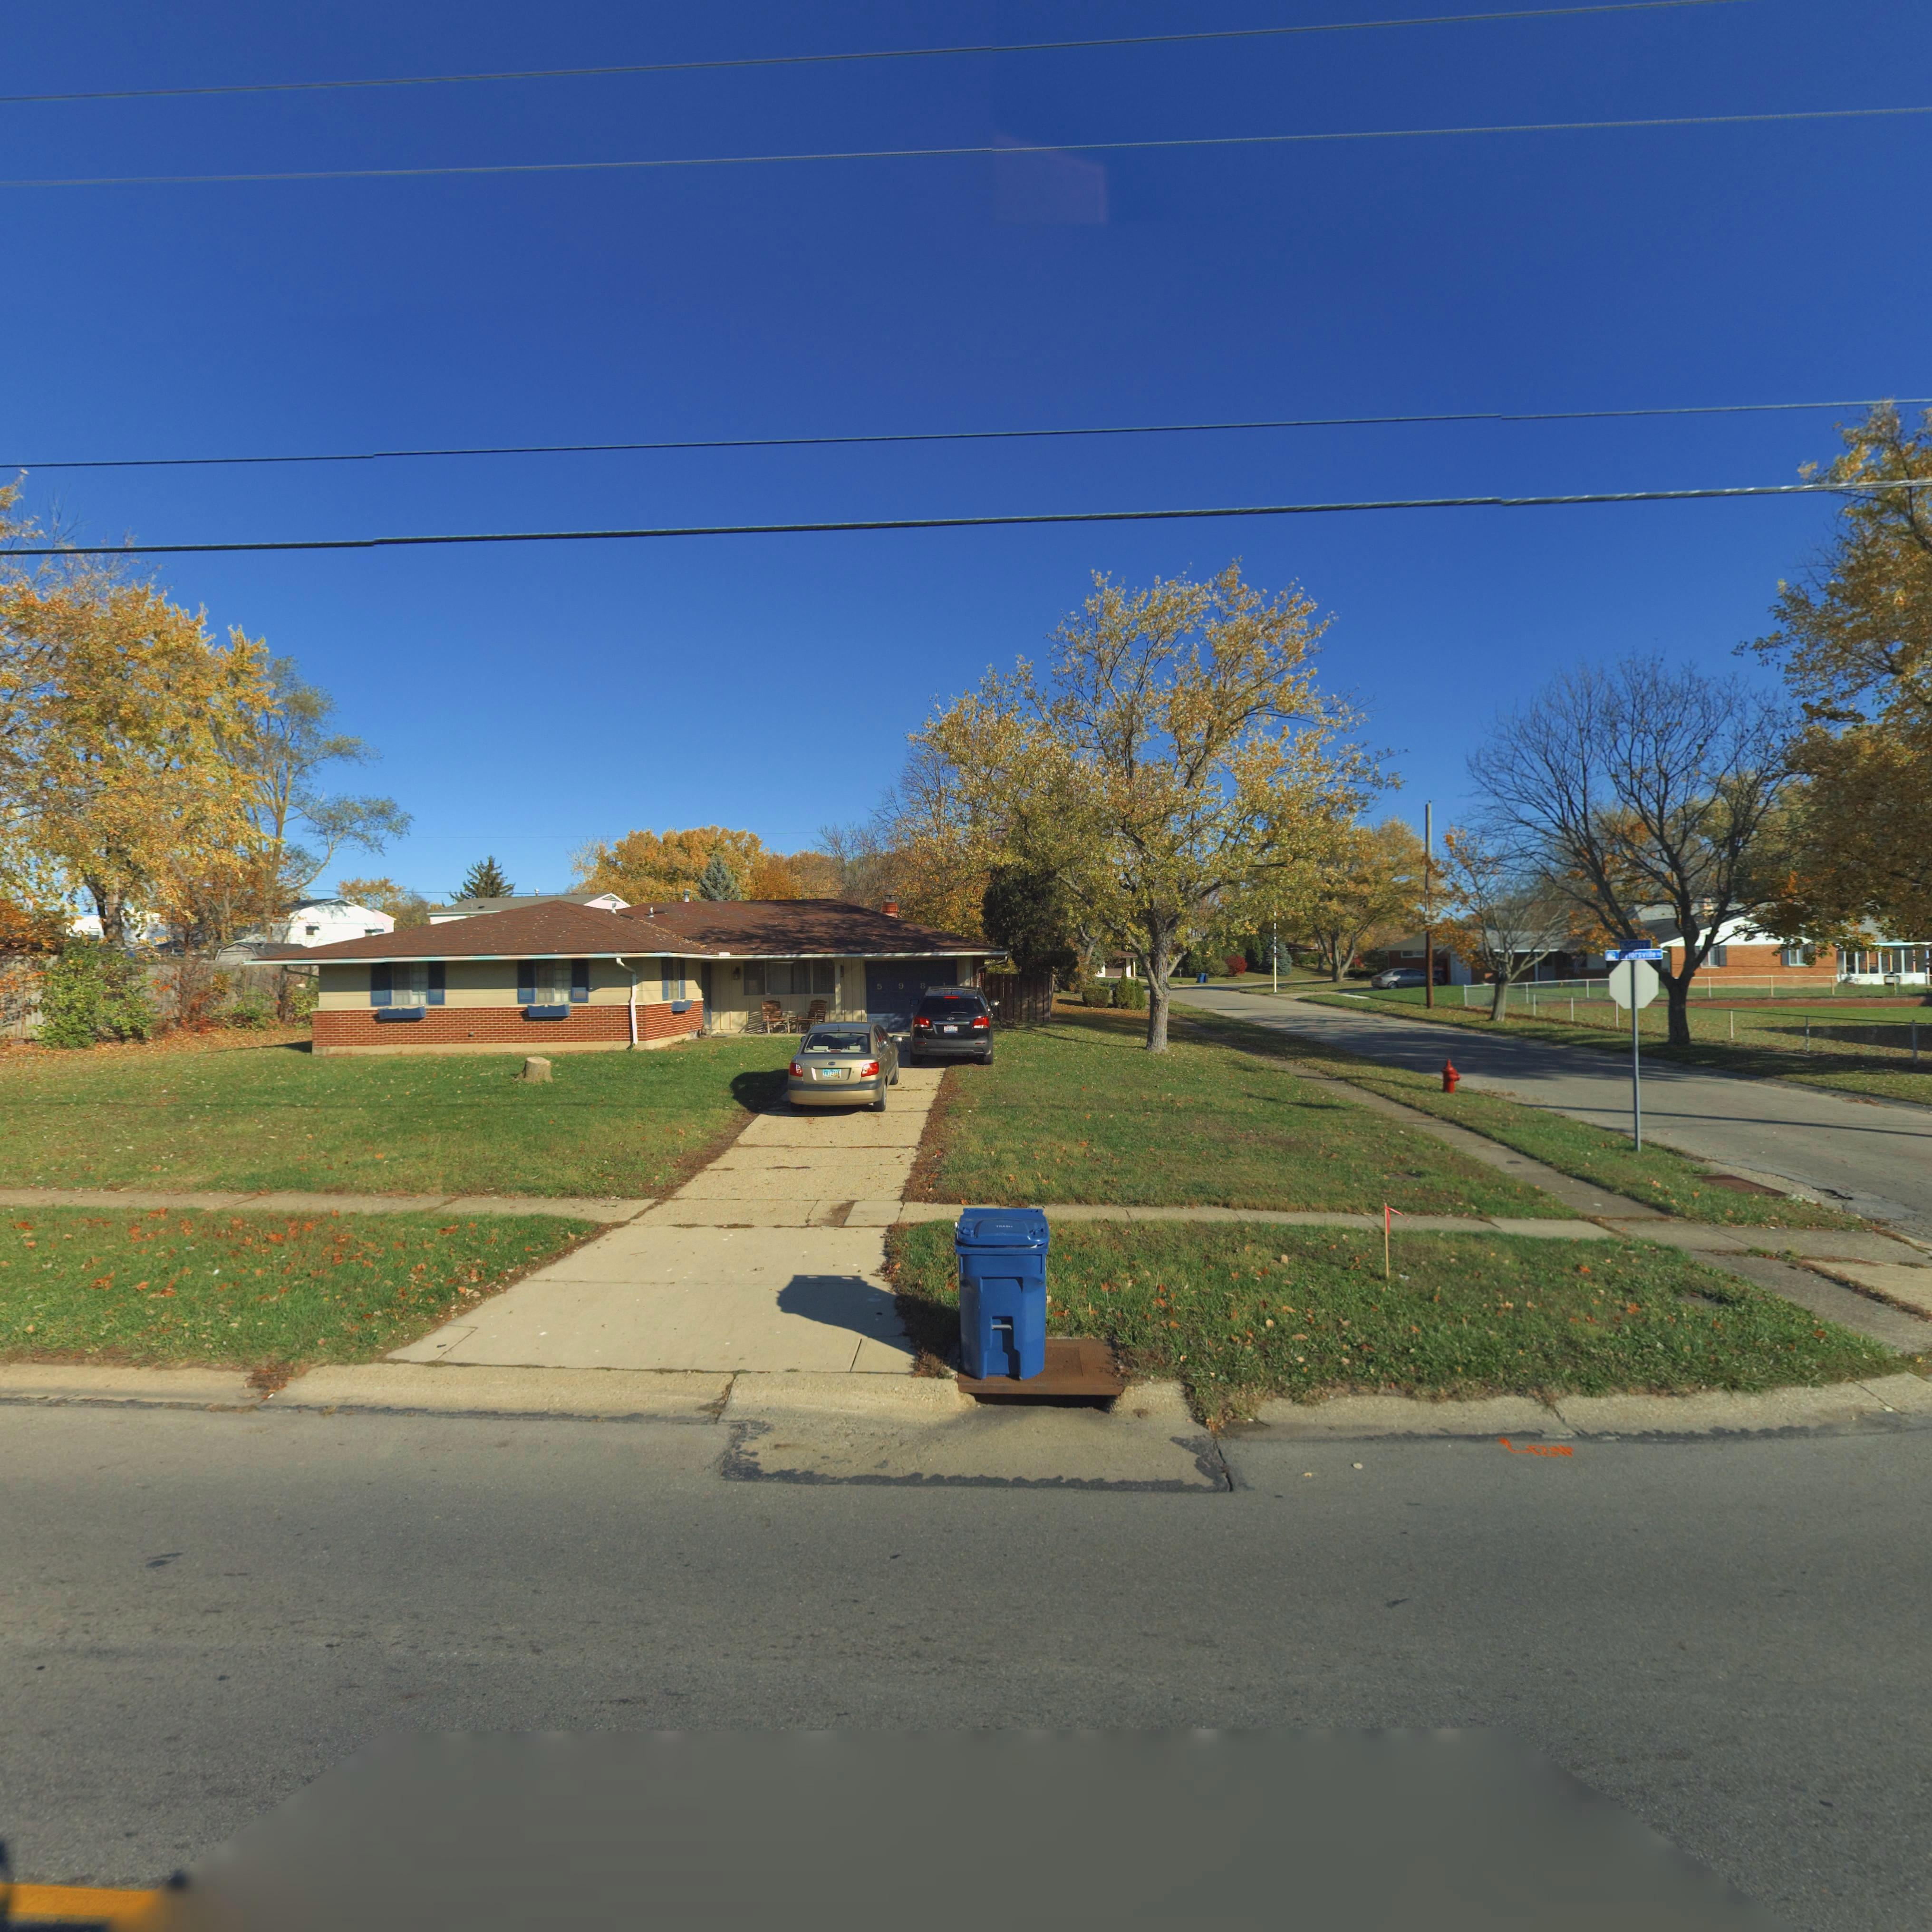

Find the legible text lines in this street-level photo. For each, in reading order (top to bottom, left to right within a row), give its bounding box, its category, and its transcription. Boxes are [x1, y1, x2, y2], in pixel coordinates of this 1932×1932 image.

[876, 982, 926, 990] StreetNumber: 598